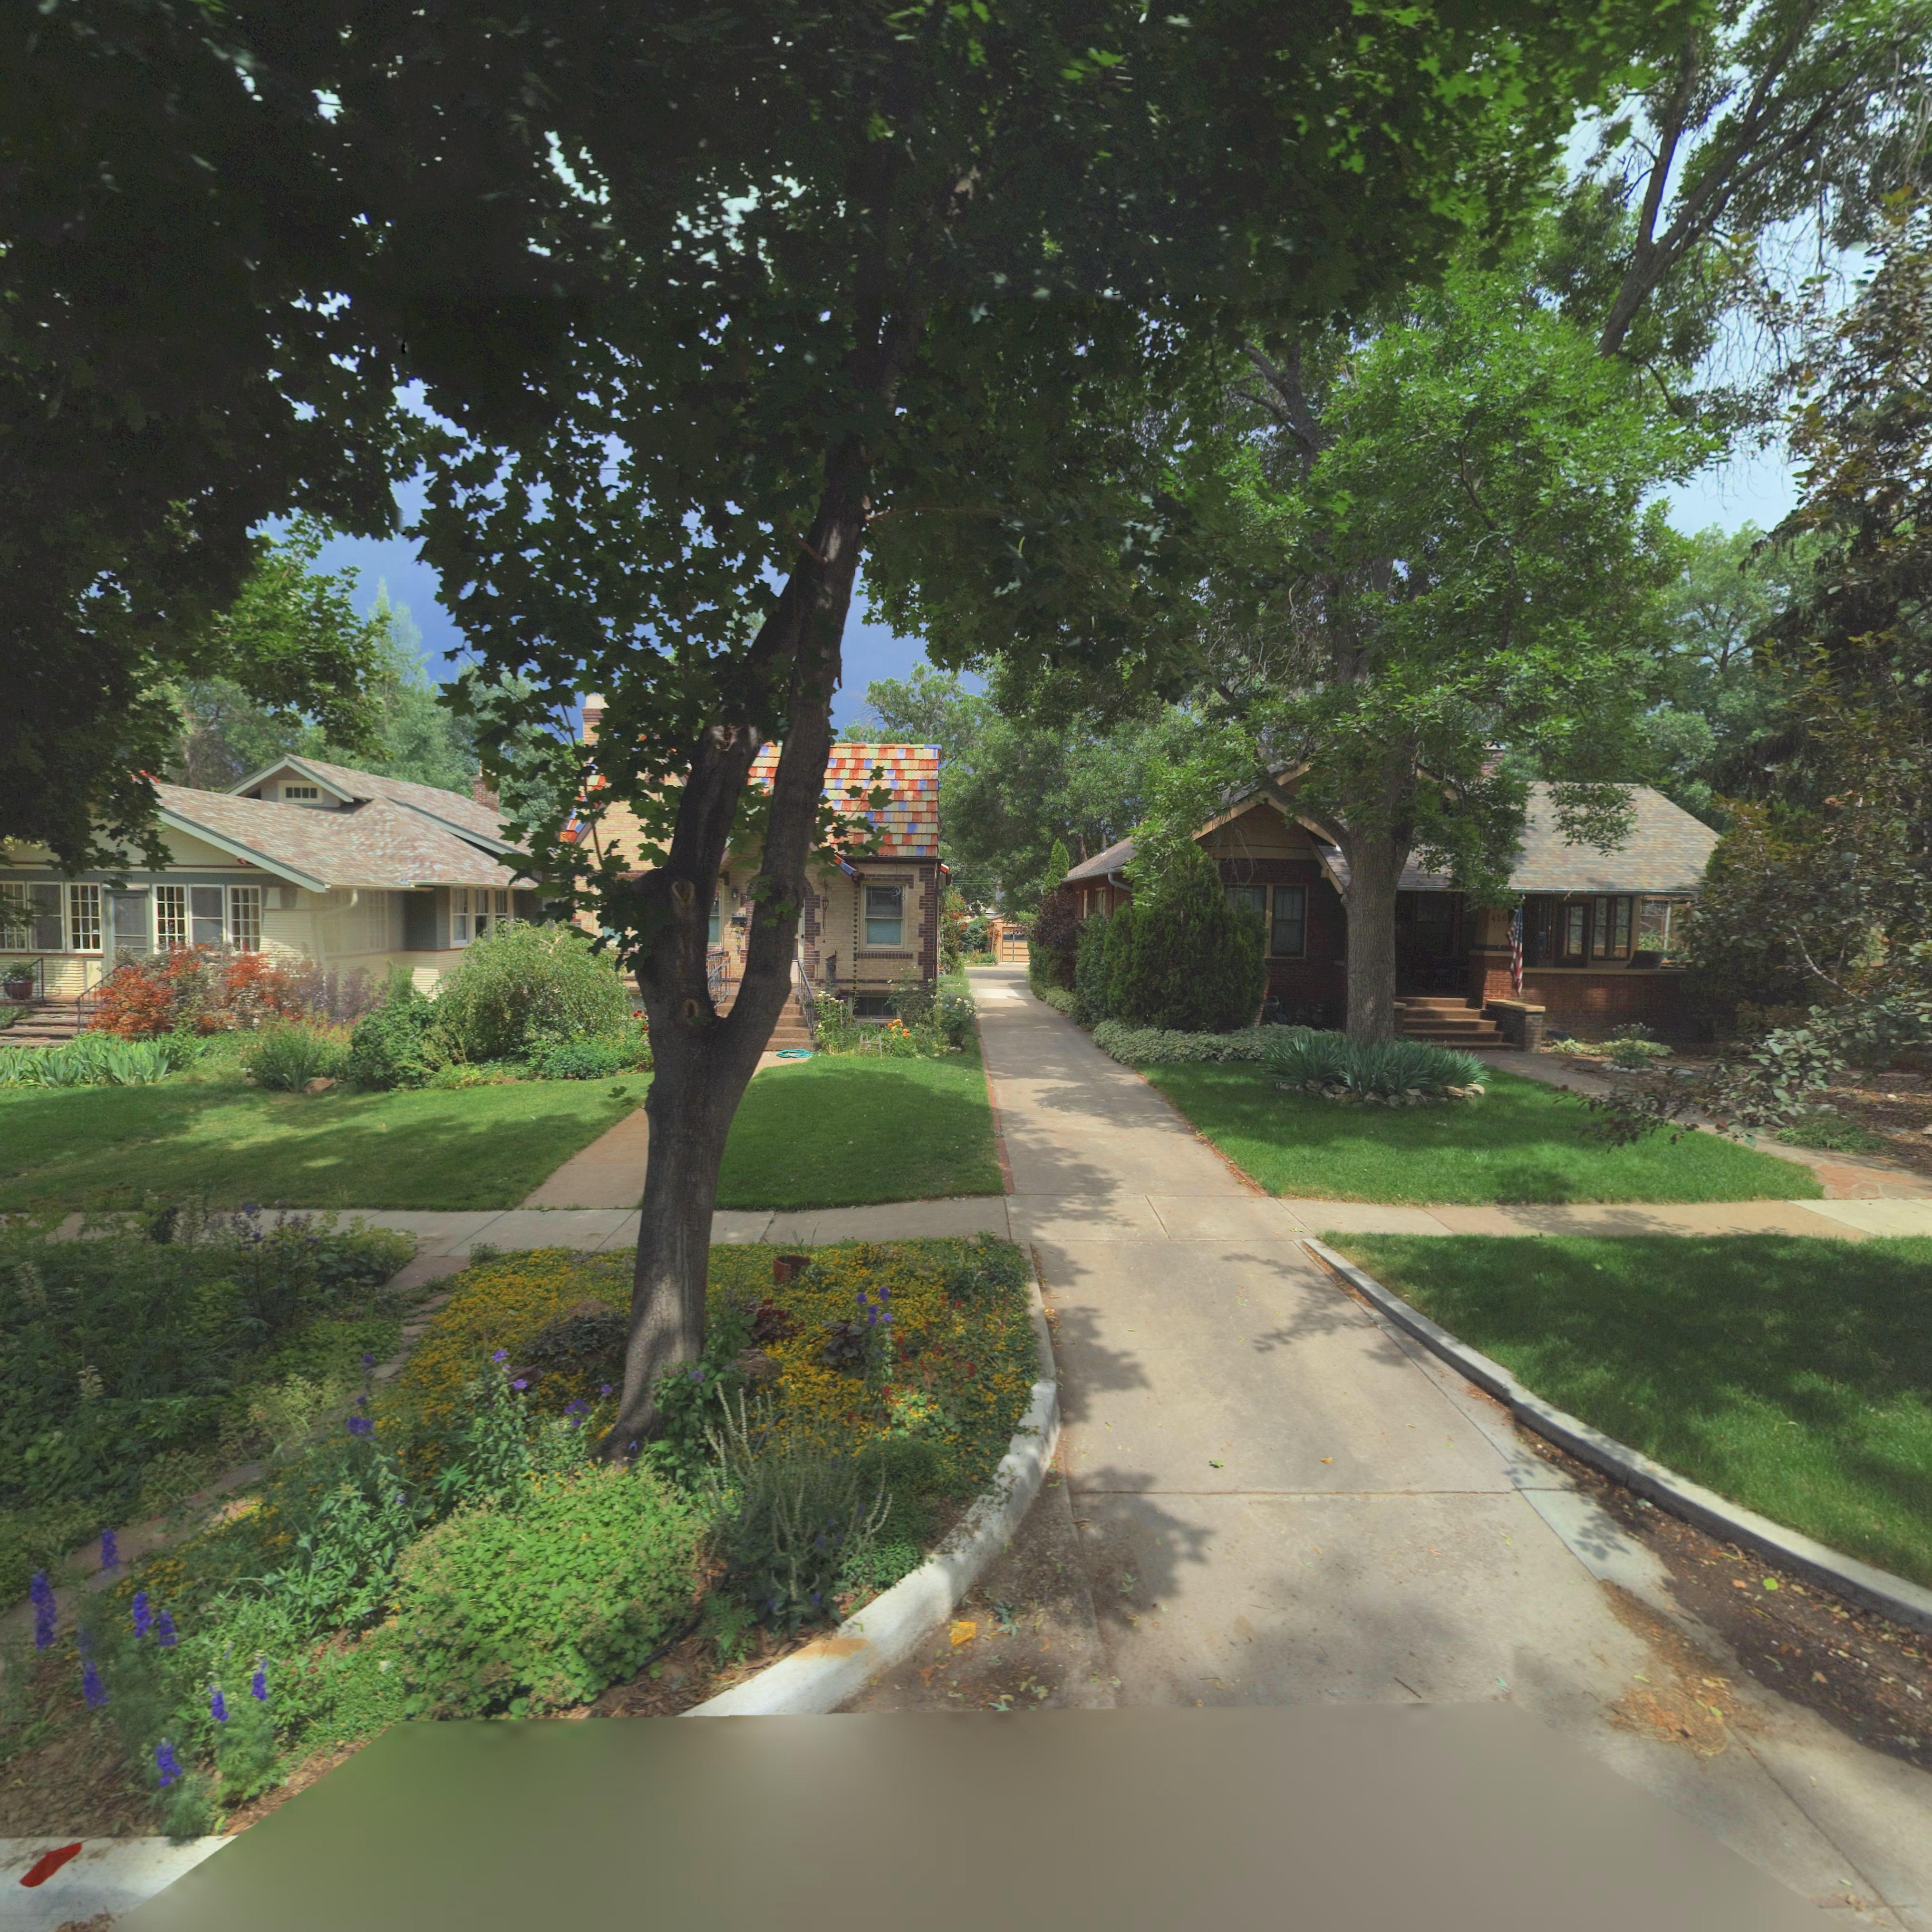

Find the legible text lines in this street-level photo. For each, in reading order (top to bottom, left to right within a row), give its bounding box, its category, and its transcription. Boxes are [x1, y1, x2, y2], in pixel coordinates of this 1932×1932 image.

[116, 872, 133, 883] StreetNumber: **9
[1490, 914, 1507, 922] StreetNumber: 416